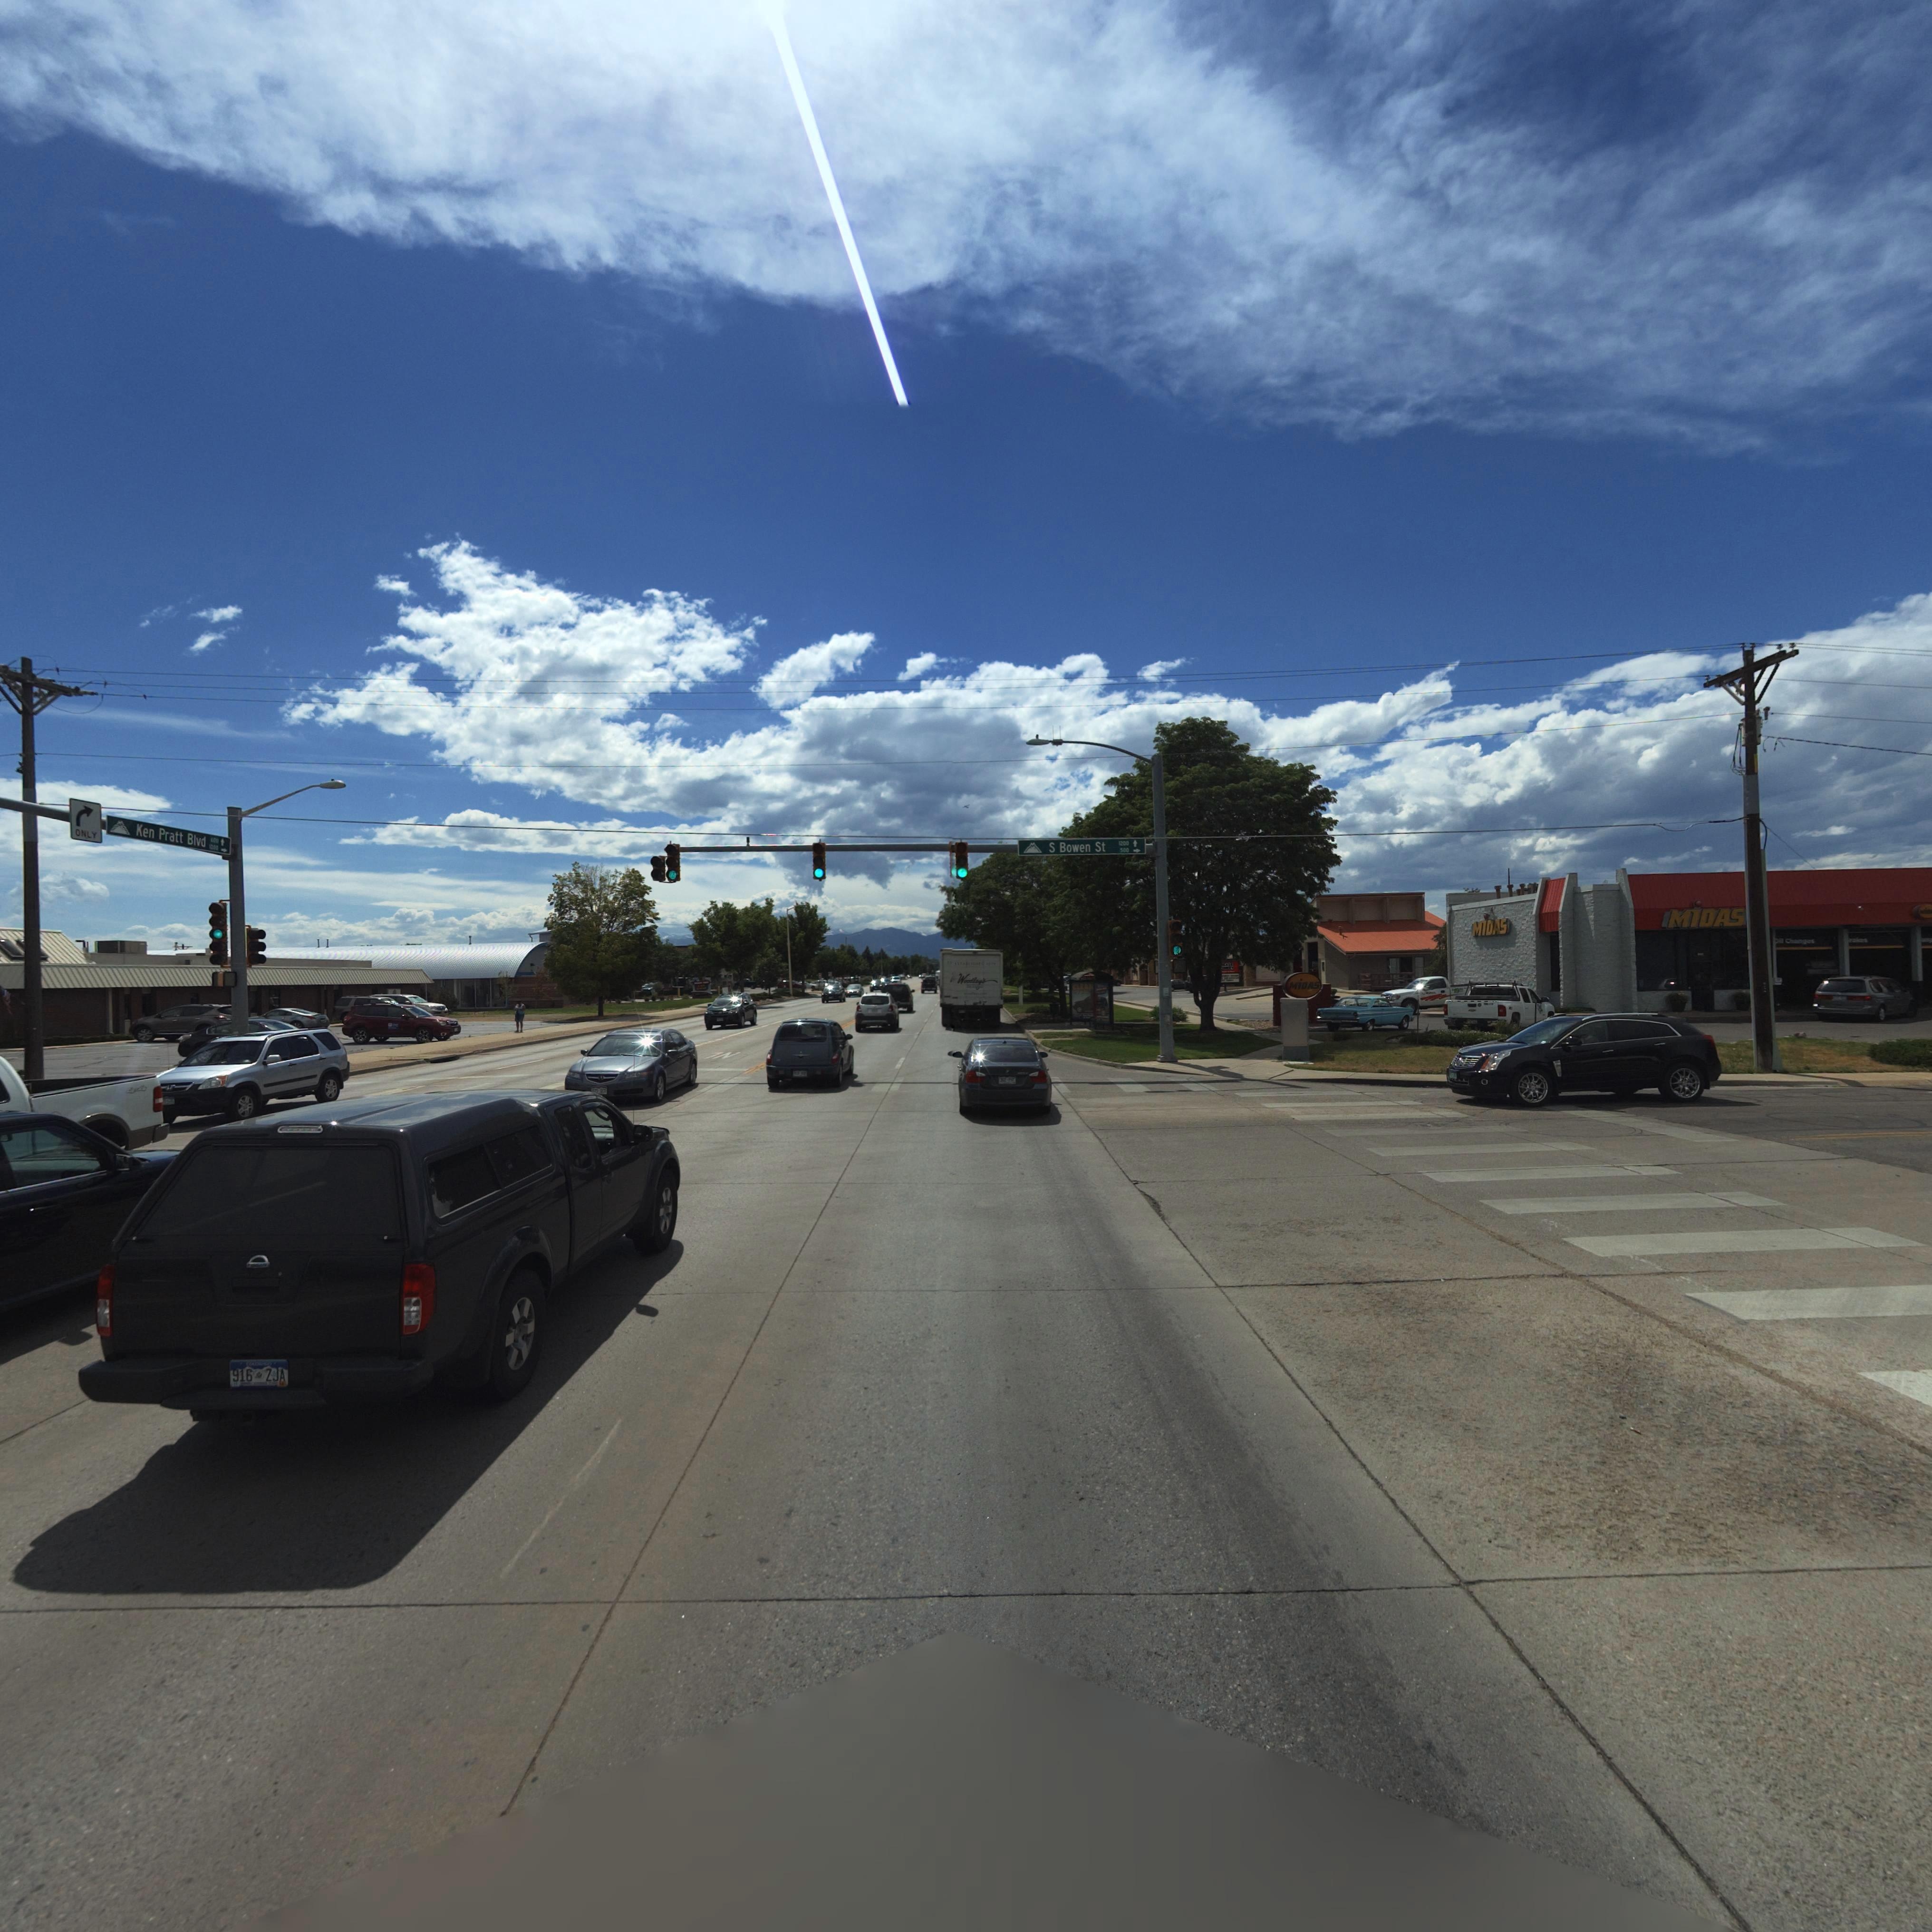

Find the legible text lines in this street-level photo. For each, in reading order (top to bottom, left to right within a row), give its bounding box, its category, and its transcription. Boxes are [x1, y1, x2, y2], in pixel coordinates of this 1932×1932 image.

[135, 822, 206, 848] StreetName: Ken Pratt Blvd
[210, 836, 219, 844] StreetNumberRange: 600
[209, 843, 227, 852] StreetNumberRange: 1200 ->
[1048, 841, 1106, 853] StreetName: S Bowen St
[1118, 840, 1129, 846] StreetNumberRange: 1200
[1120, 847, 1140, 853] StreetNumberRange: 500 ->
[1667, 899, 1745, 928] BusinessName: MiDAS
[1472, 913, 1508, 937] BusinessName: MiDAS
[1221, 962, 1233, 966] BusinessName: EASE
[1220, 966, 1234, 970] BusinessName: *NKEY
[1288, 978, 1320, 989] BusinessName: MiDAS